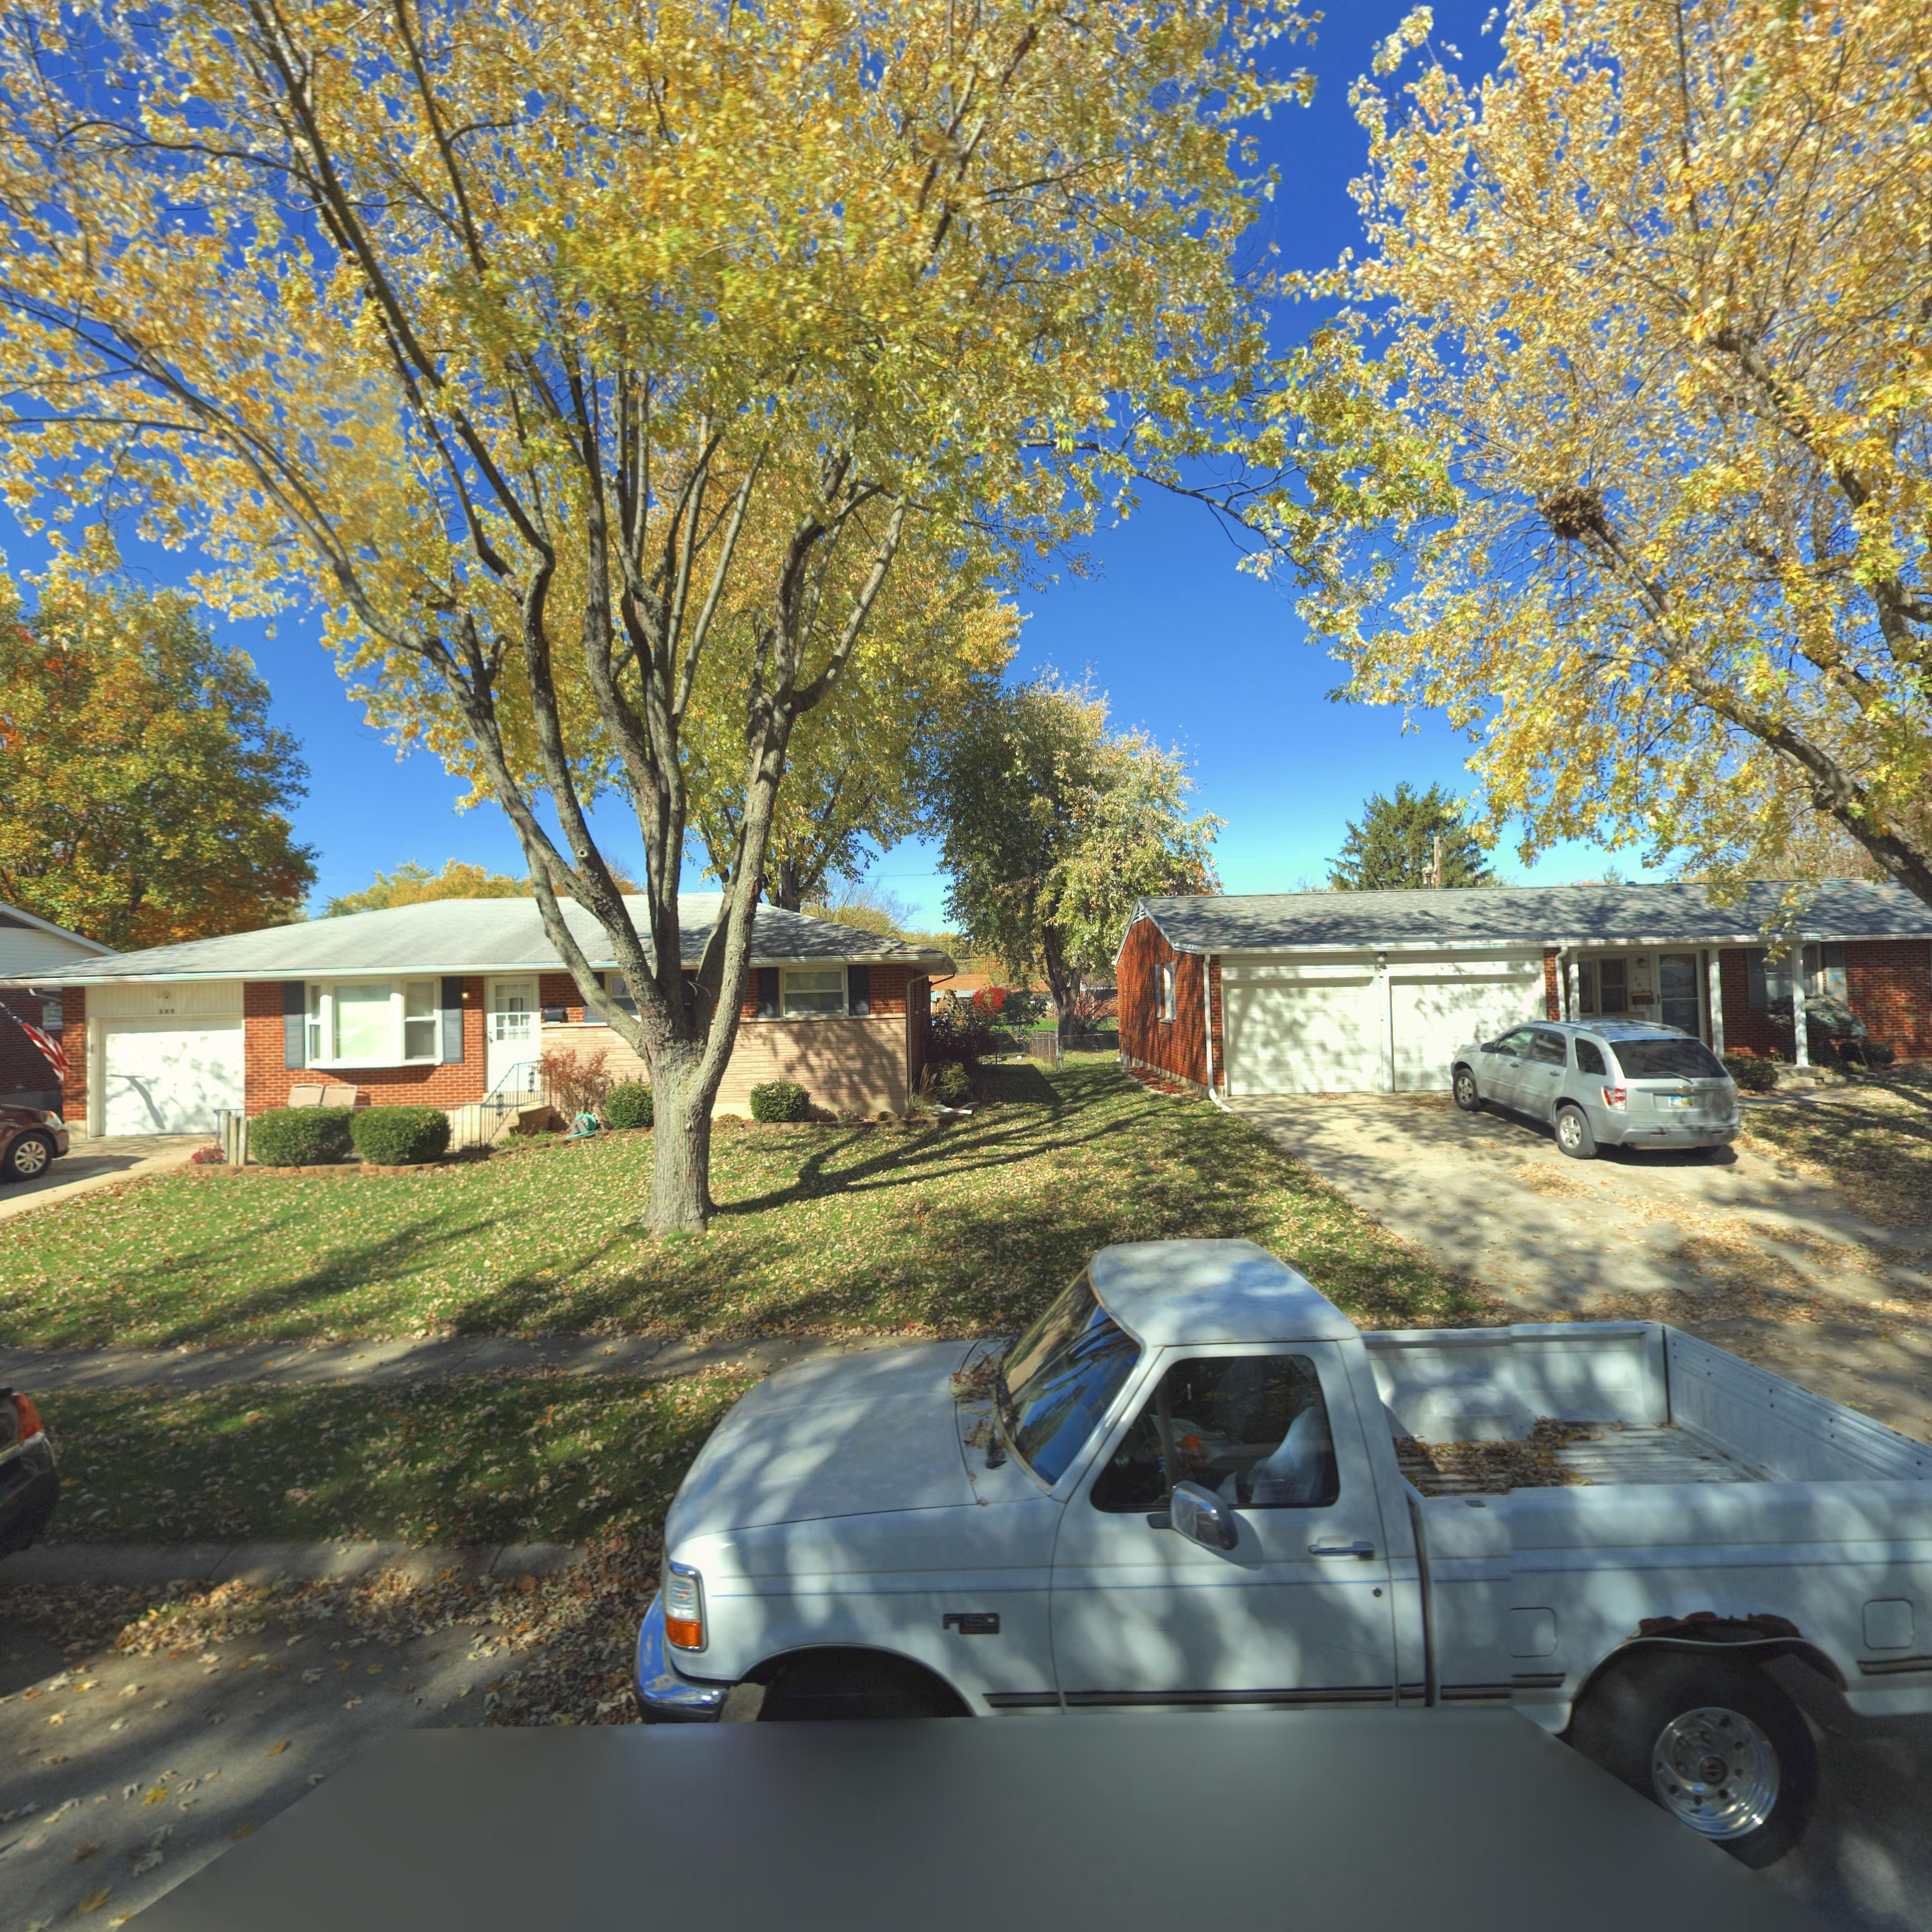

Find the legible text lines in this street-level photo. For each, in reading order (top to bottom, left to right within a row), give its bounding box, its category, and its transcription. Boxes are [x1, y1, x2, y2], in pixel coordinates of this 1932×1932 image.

[1373, 965, 1388, 973] StreetNumber: 30*
[1632, 975, 1643, 989] StreetNumber: 30
[941, 1612, 1000, 1630] None: F150